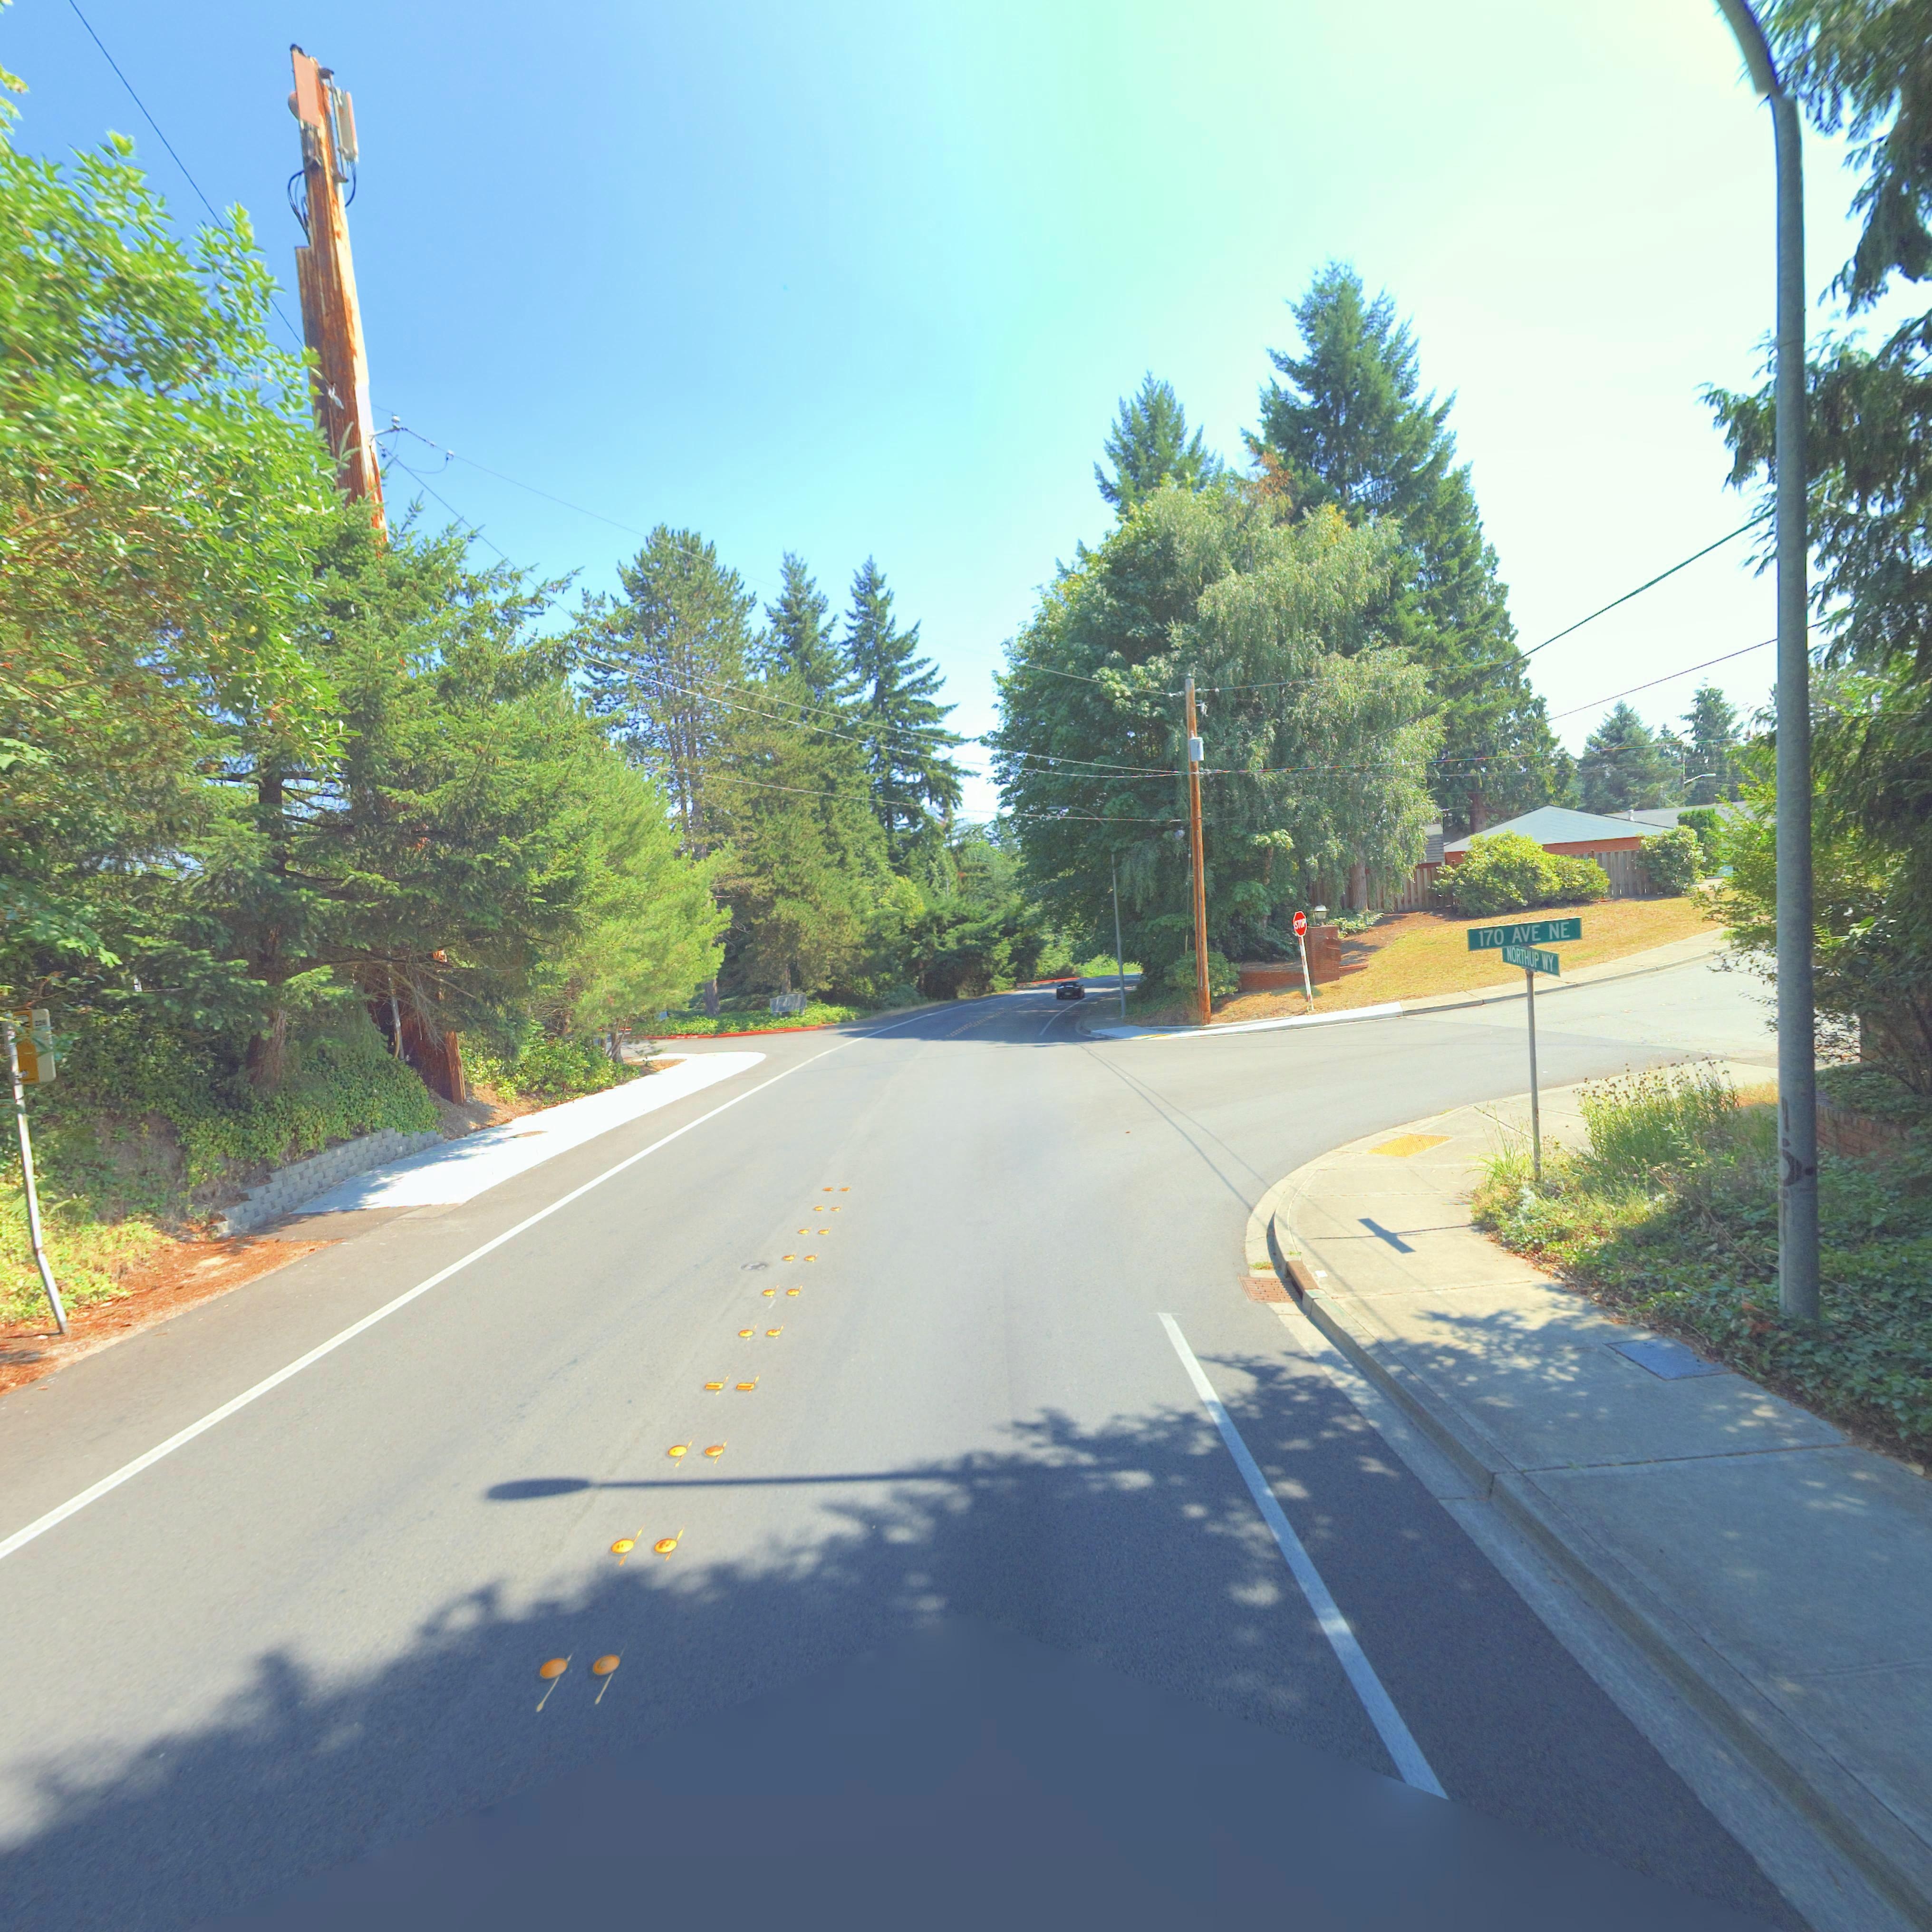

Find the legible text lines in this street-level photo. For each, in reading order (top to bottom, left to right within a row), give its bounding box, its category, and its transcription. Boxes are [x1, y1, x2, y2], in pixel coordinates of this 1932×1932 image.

[1506, 946, 1554, 973] StreetName: NORTHUP WY